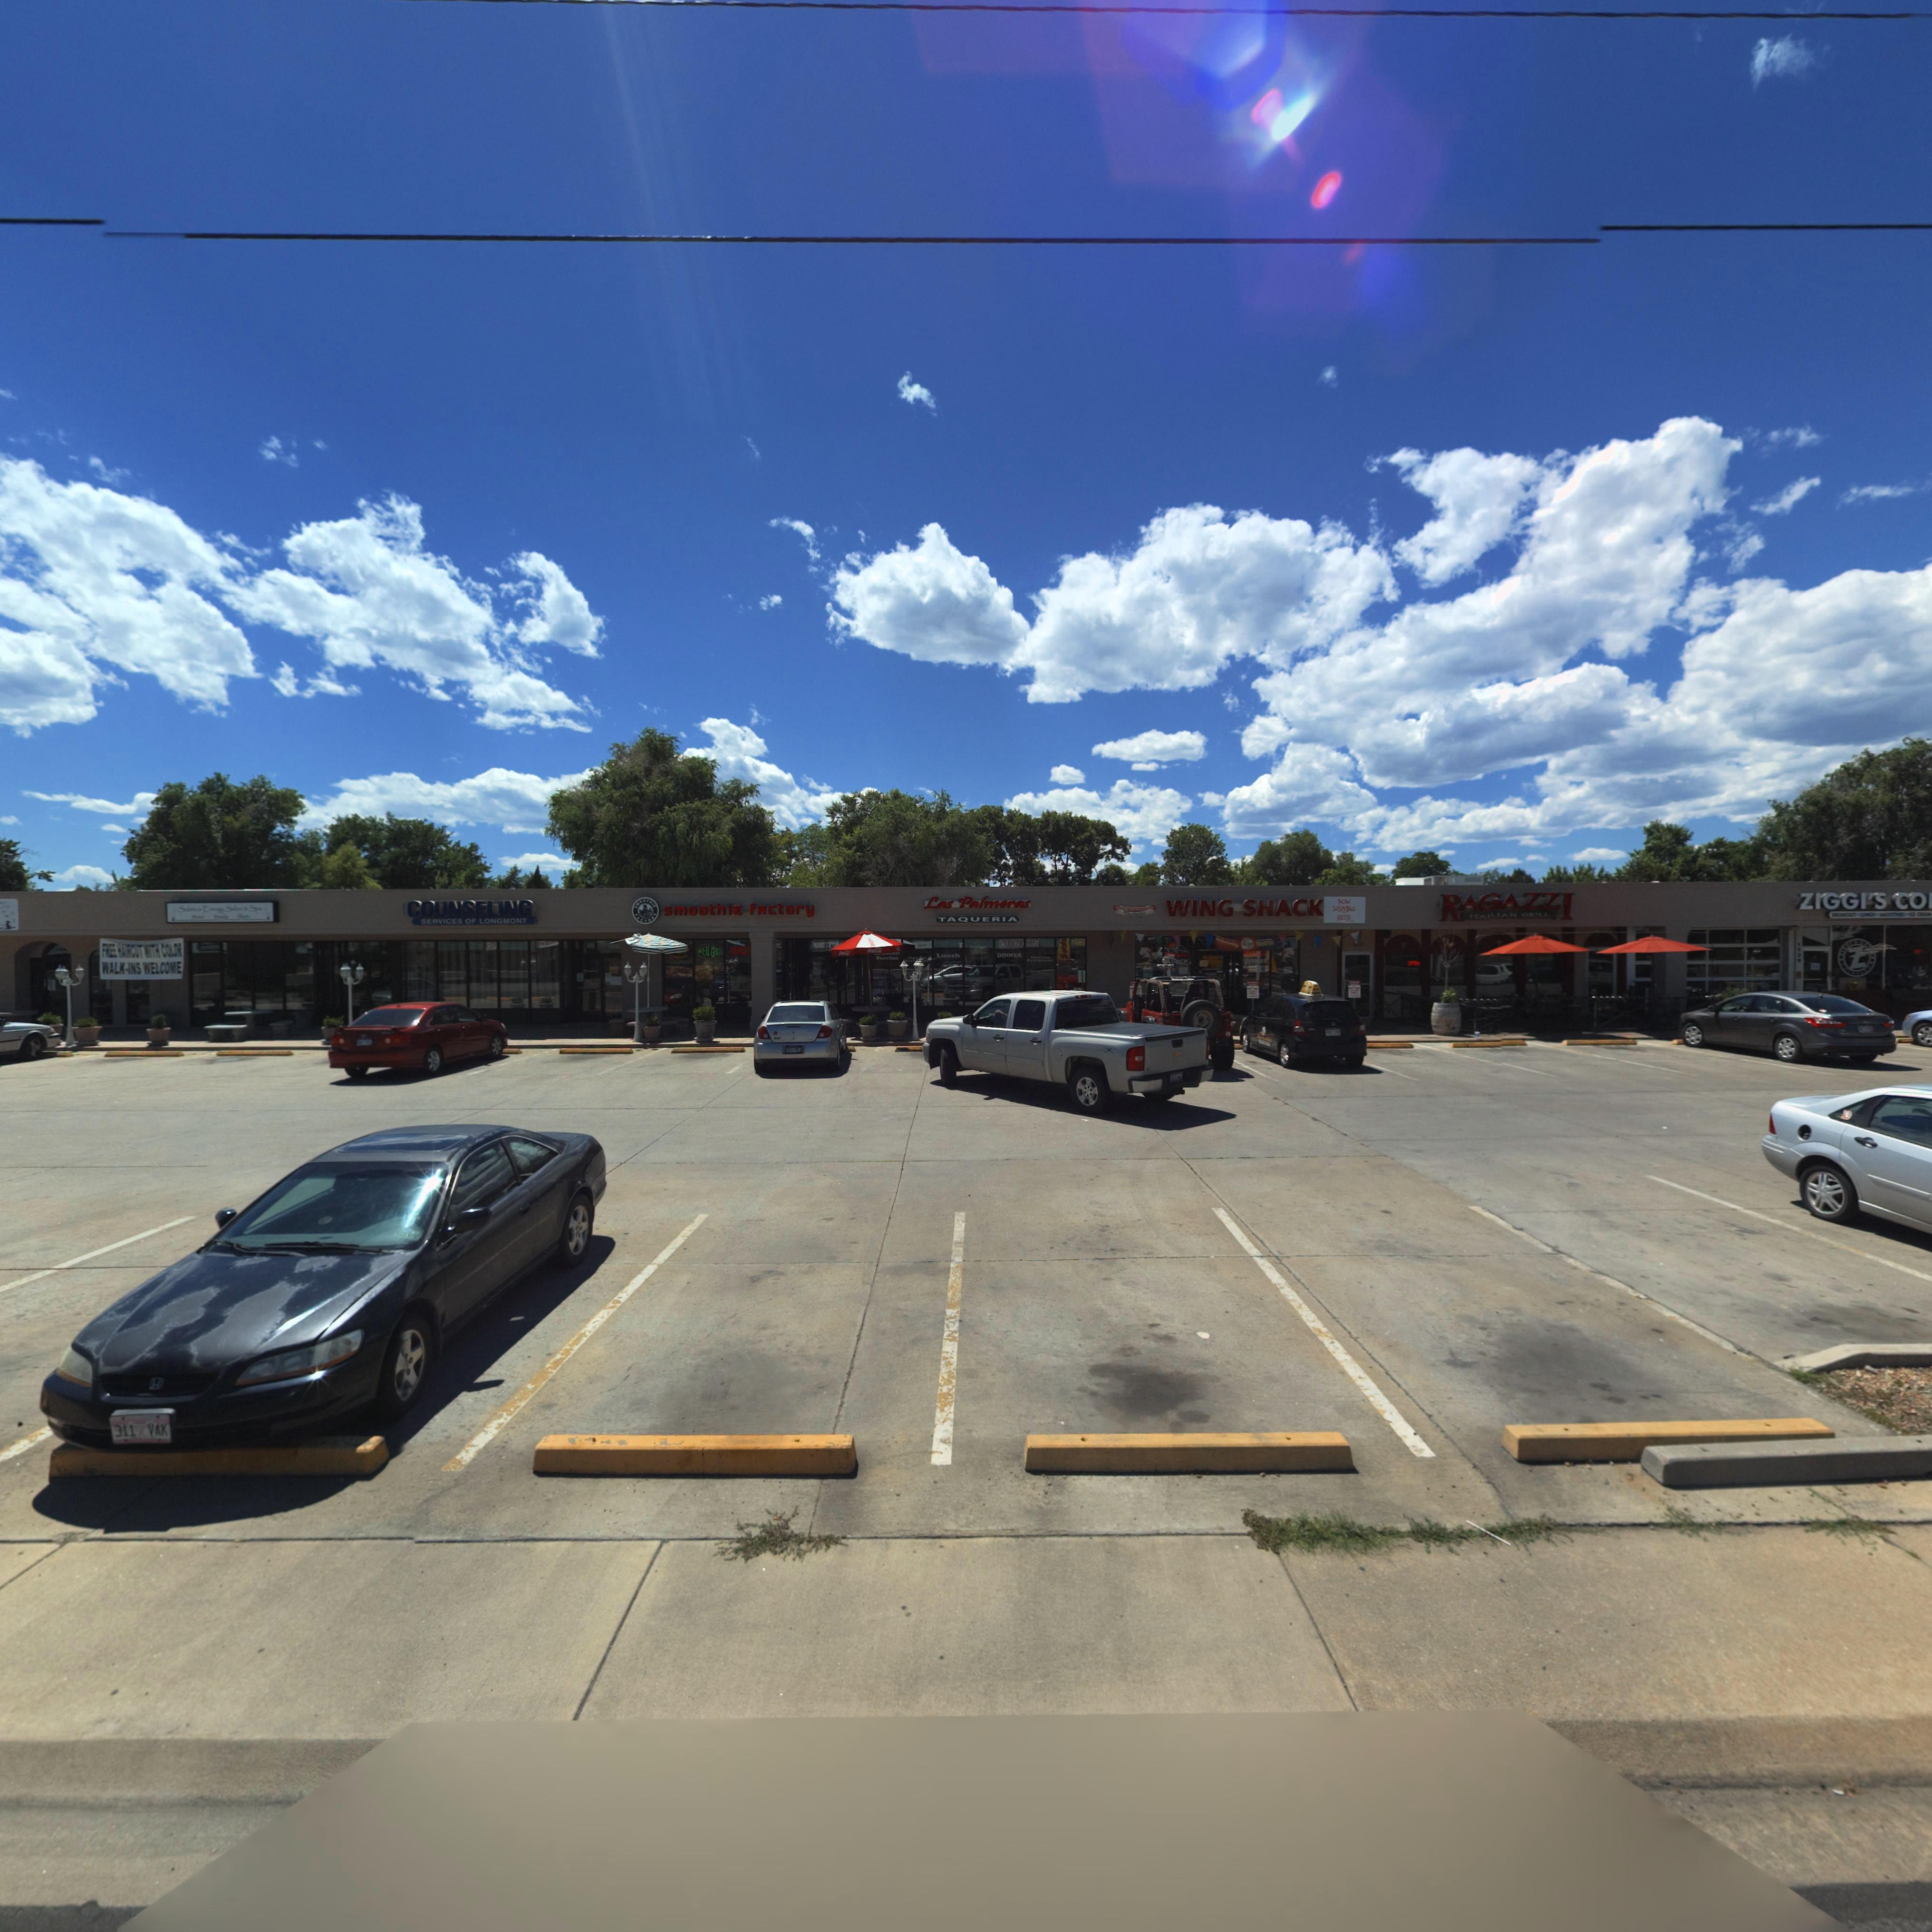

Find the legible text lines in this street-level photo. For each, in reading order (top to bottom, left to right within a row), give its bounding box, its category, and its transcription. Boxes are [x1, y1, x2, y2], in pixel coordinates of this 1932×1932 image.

[178, 904, 263, 914] BusinessName: Sol*** E****y S*lon & Spa
[407, 899, 532, 917] BusinessName: COUNSELING
[421, 918, 527, 924] BusinessName: SERVICES OF LONGMONT
[634, 899, 656, 908] BusinessName: **OOT*I*
[634, 913, 657, 922] None: F*CTOR*
[664, 902, 814, 918] BusinessName: smoothiE fActory
[924, 896, 1031, 908] BusinessName: Las Palmeras
[937, 917, 1017, 922] BusinessName: TAQUERIA
[1166, 899, 1323, 916] BusinessName: WING SHACK
[1439, 892, 1574, 922] BusinessName: RAGAZZI
[1469, 912, 1550, 919] BusinessName: ITA*LIAN GRILL
[1798, 892, 1927, 909] BusinessName: ZIGGI'S CO
[823, 944, 834, 948] StreetNumber: **5*
[1797, 942, 1801, 963] StreetNumber: 1139
[1840, 940, 1870, 956] BusinessName: *I**I** C*